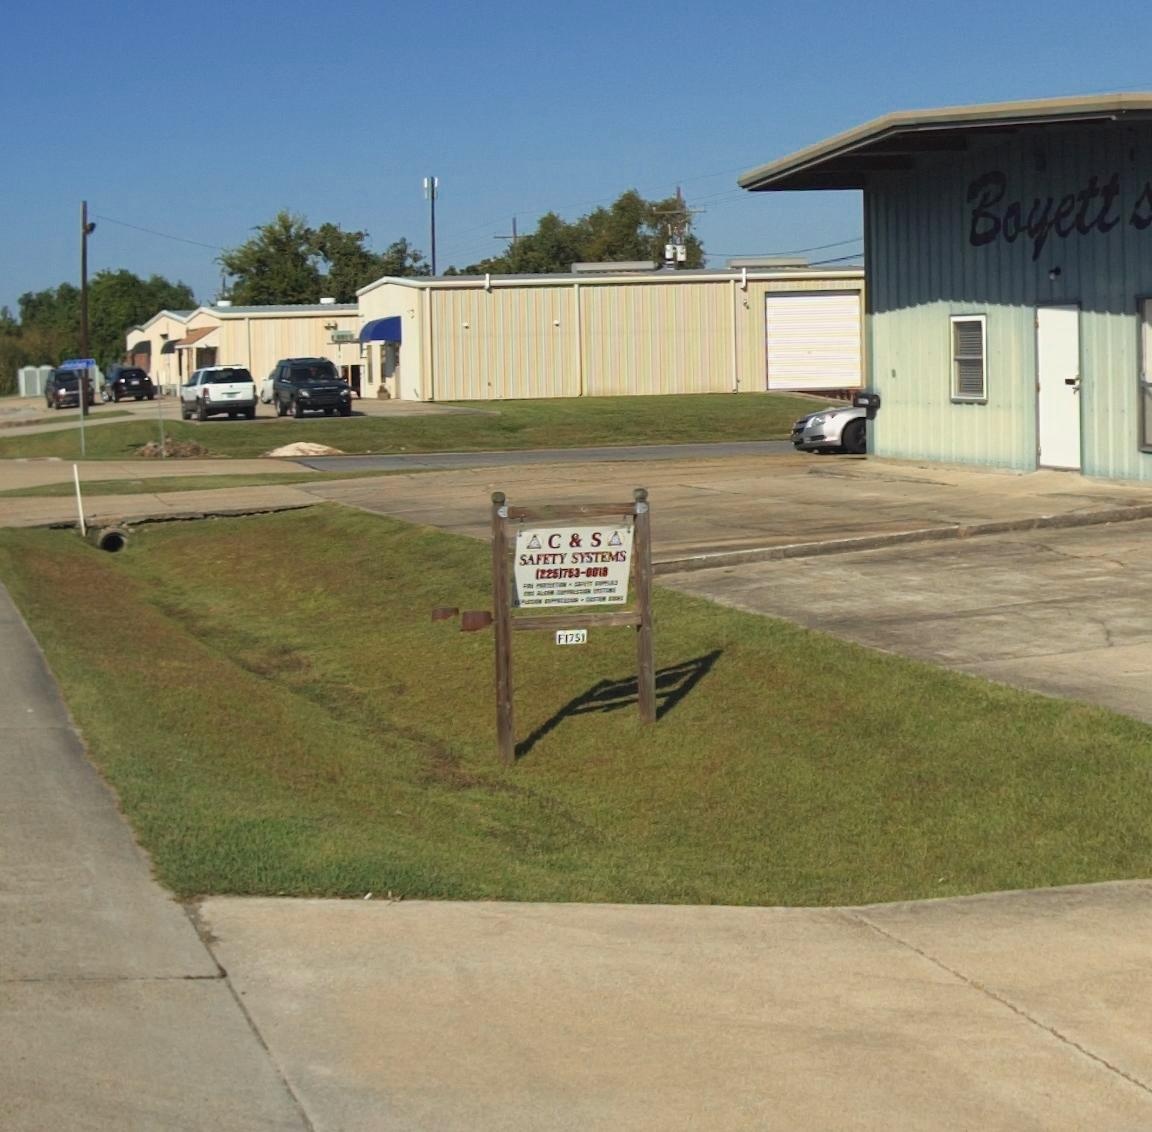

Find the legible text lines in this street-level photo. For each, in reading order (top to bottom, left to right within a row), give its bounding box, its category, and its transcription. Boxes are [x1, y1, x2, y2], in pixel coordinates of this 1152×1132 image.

[964, 167, 1123, 265] None: Boyett
[545, 530, 604, 552] BusinessName: C & S
[516, 547, 630, 569] BusinessName: SAFETY SYSTEMS
[533, 563, 612, 583] None: (225)763-*018
[566, 630, 587, 646] StreetNumber: 751